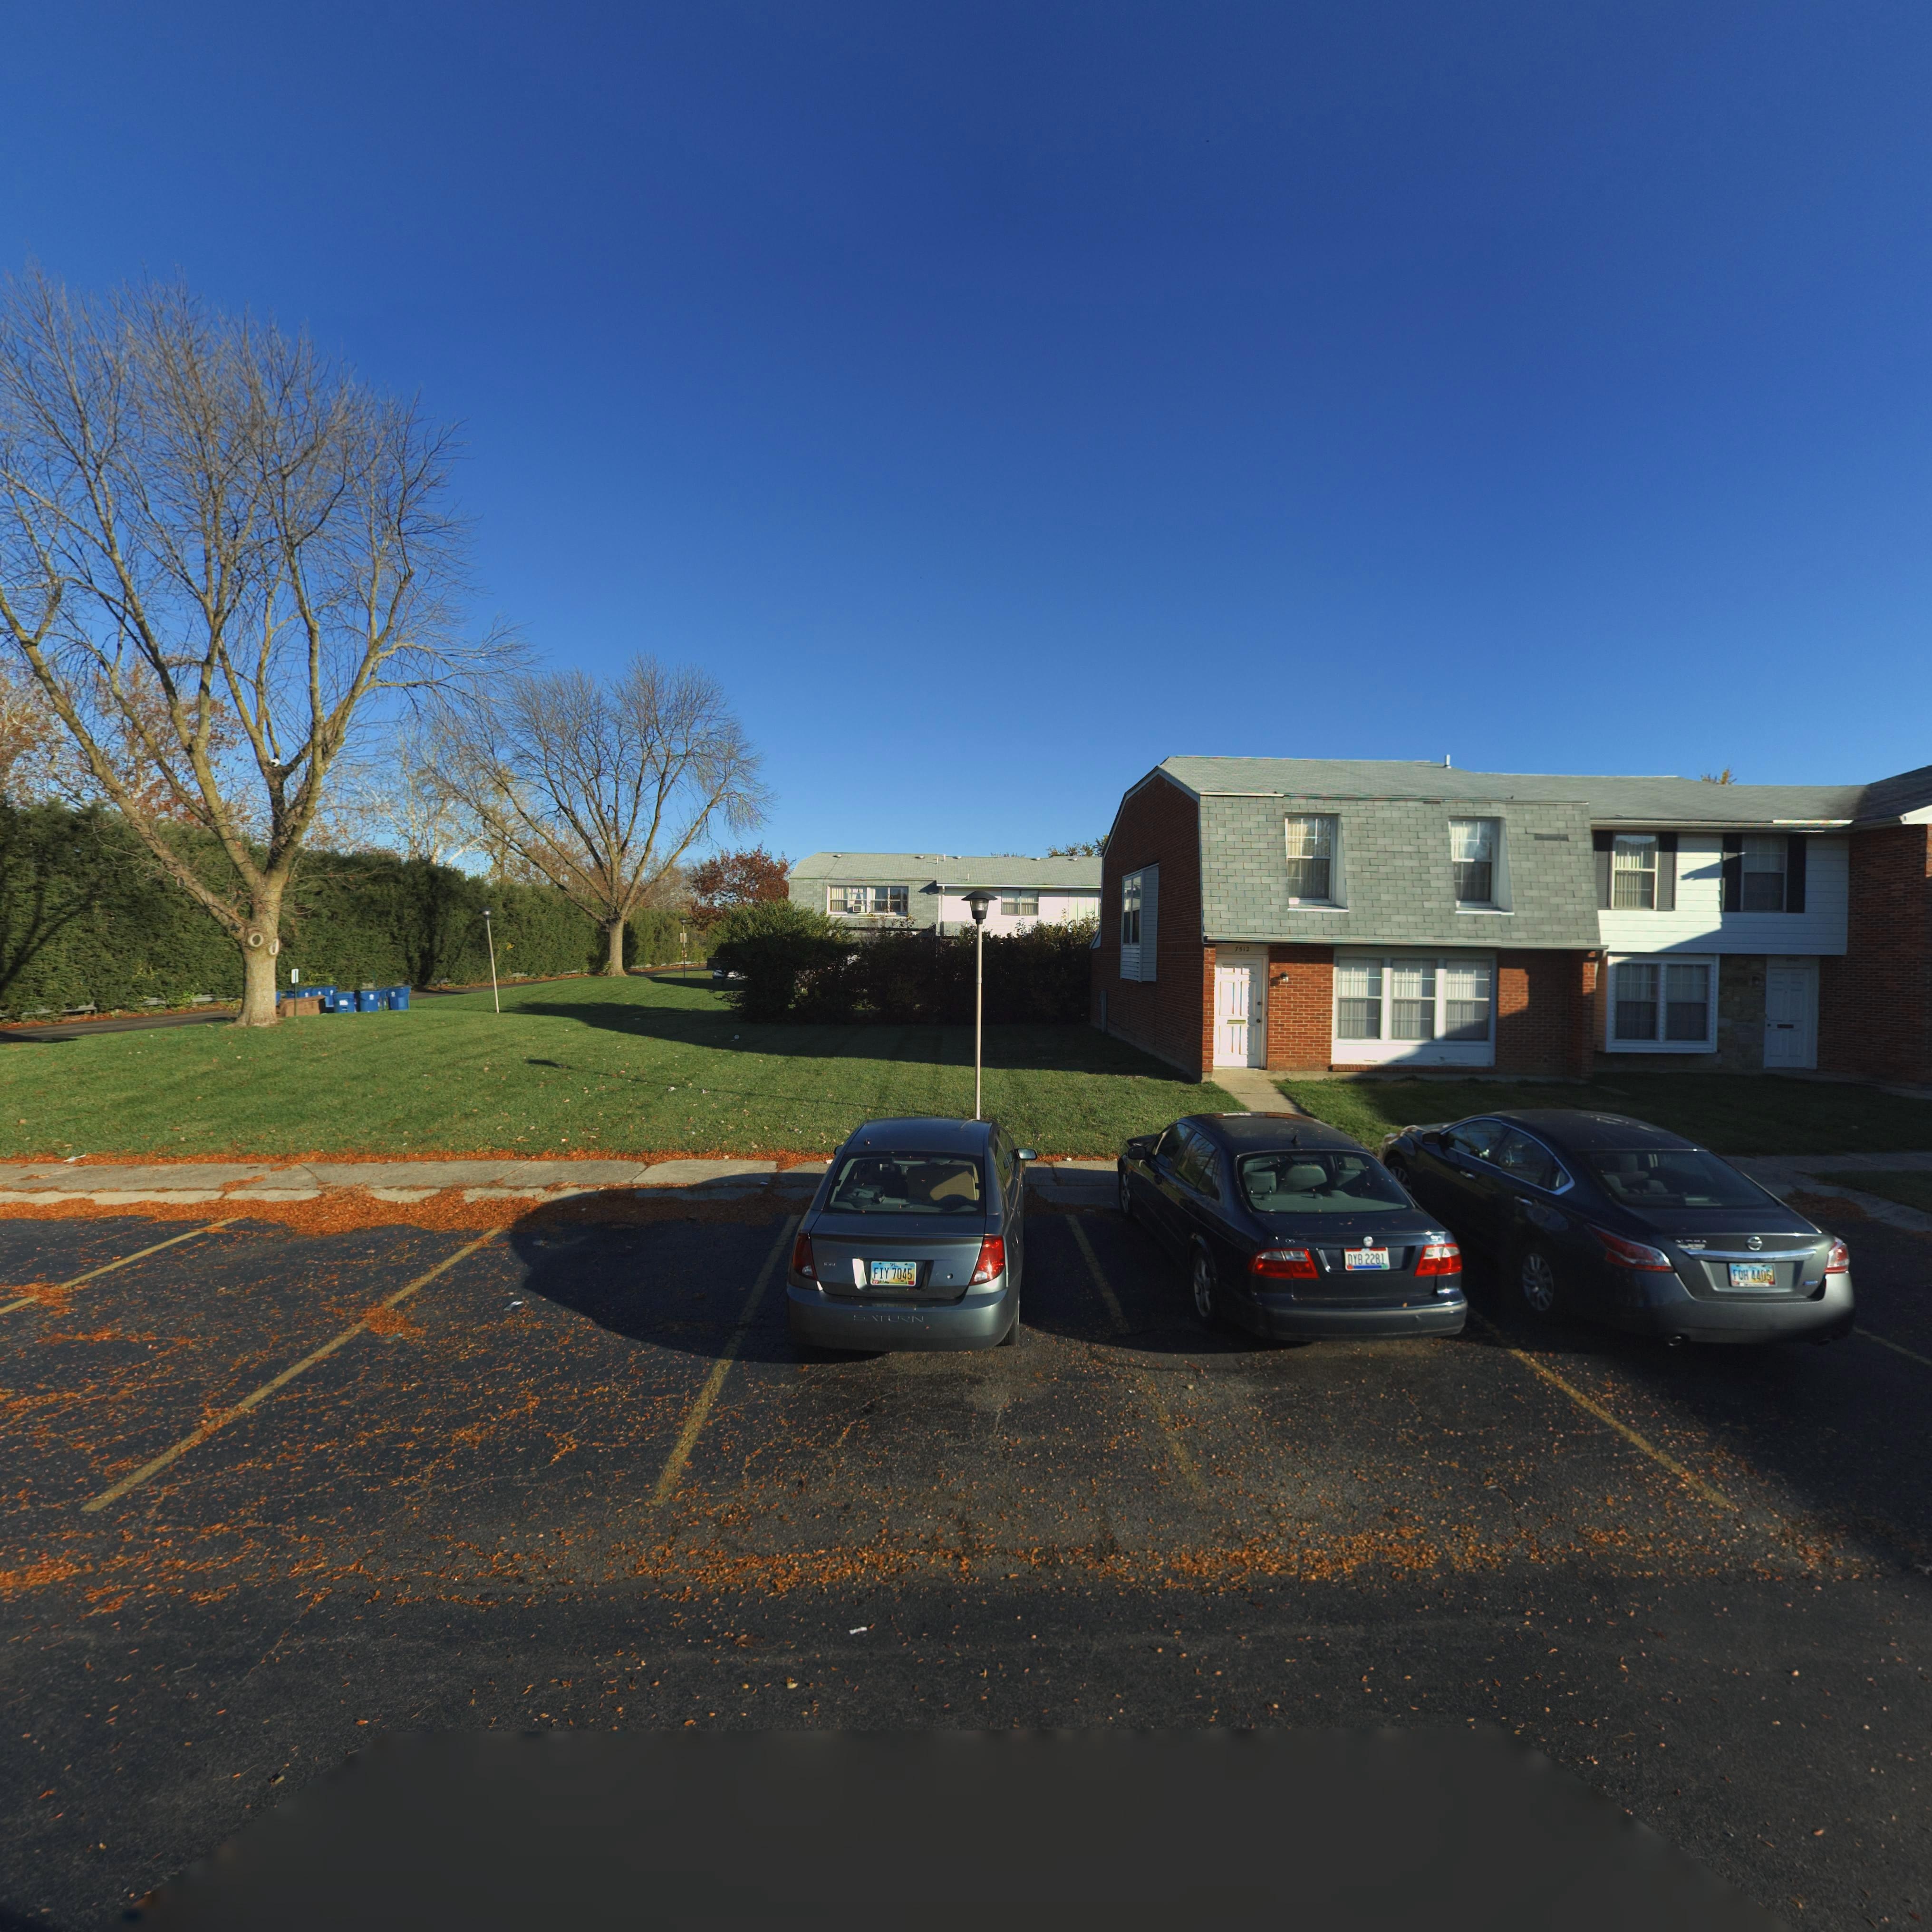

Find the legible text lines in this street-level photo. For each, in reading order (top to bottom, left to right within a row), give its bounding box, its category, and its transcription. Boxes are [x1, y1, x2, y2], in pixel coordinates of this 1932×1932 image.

[1234, 945, 1251, 953] StreetNumber: 7512